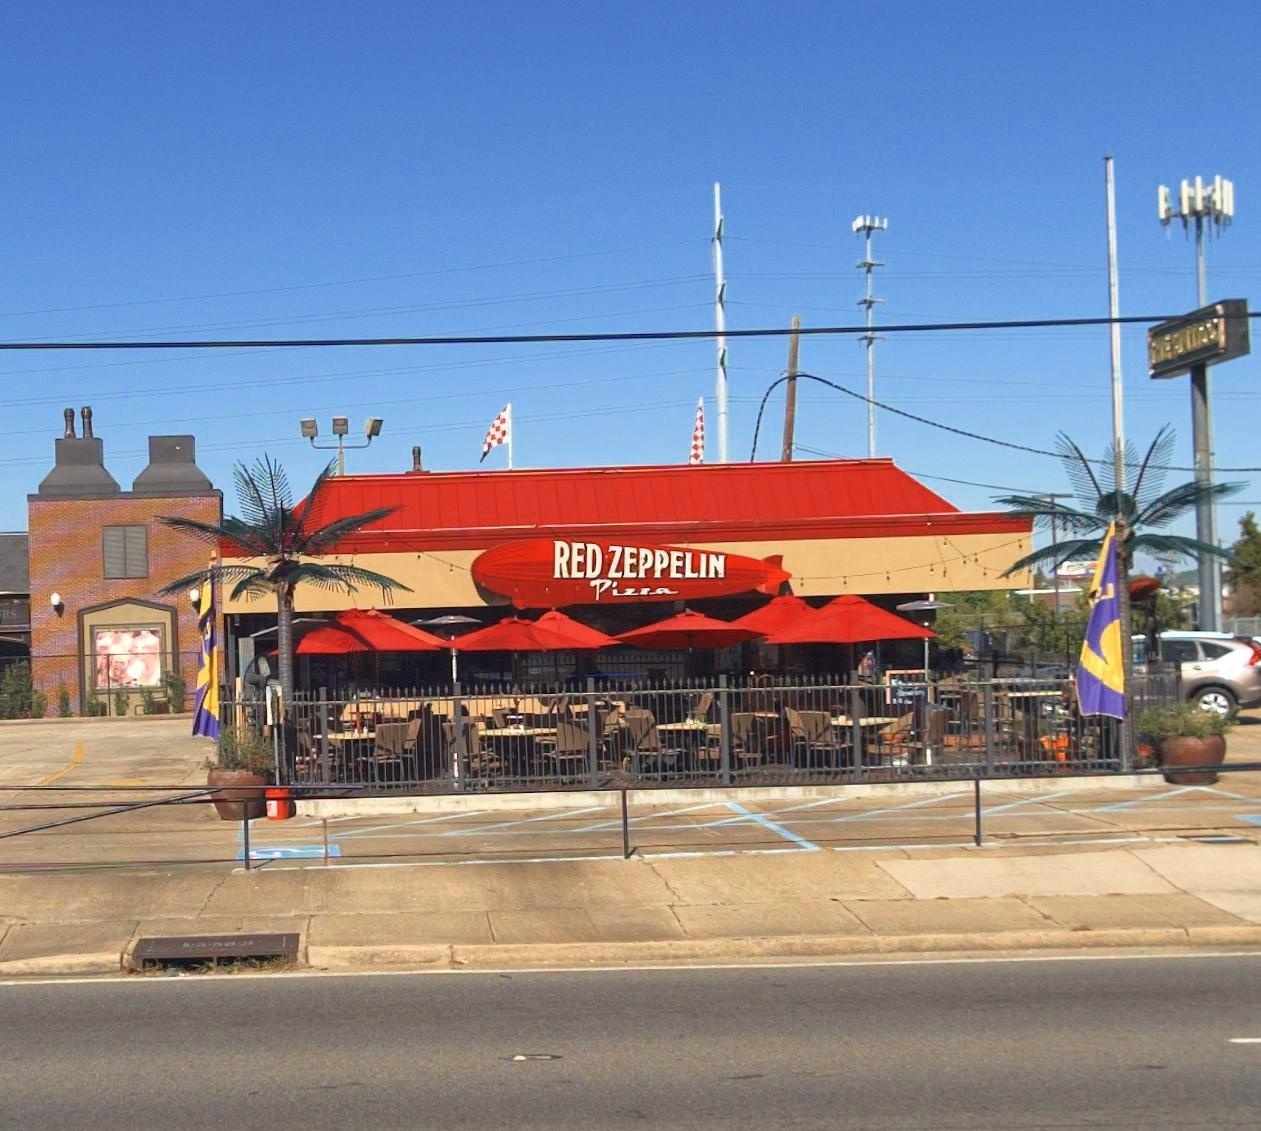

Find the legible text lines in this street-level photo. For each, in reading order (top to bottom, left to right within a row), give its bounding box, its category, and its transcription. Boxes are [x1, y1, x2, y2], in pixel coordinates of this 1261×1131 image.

[552, 539, 728, 580] BusinessName: RED ZEPPELIN
[587, 577, 680, 602] None: Pizza